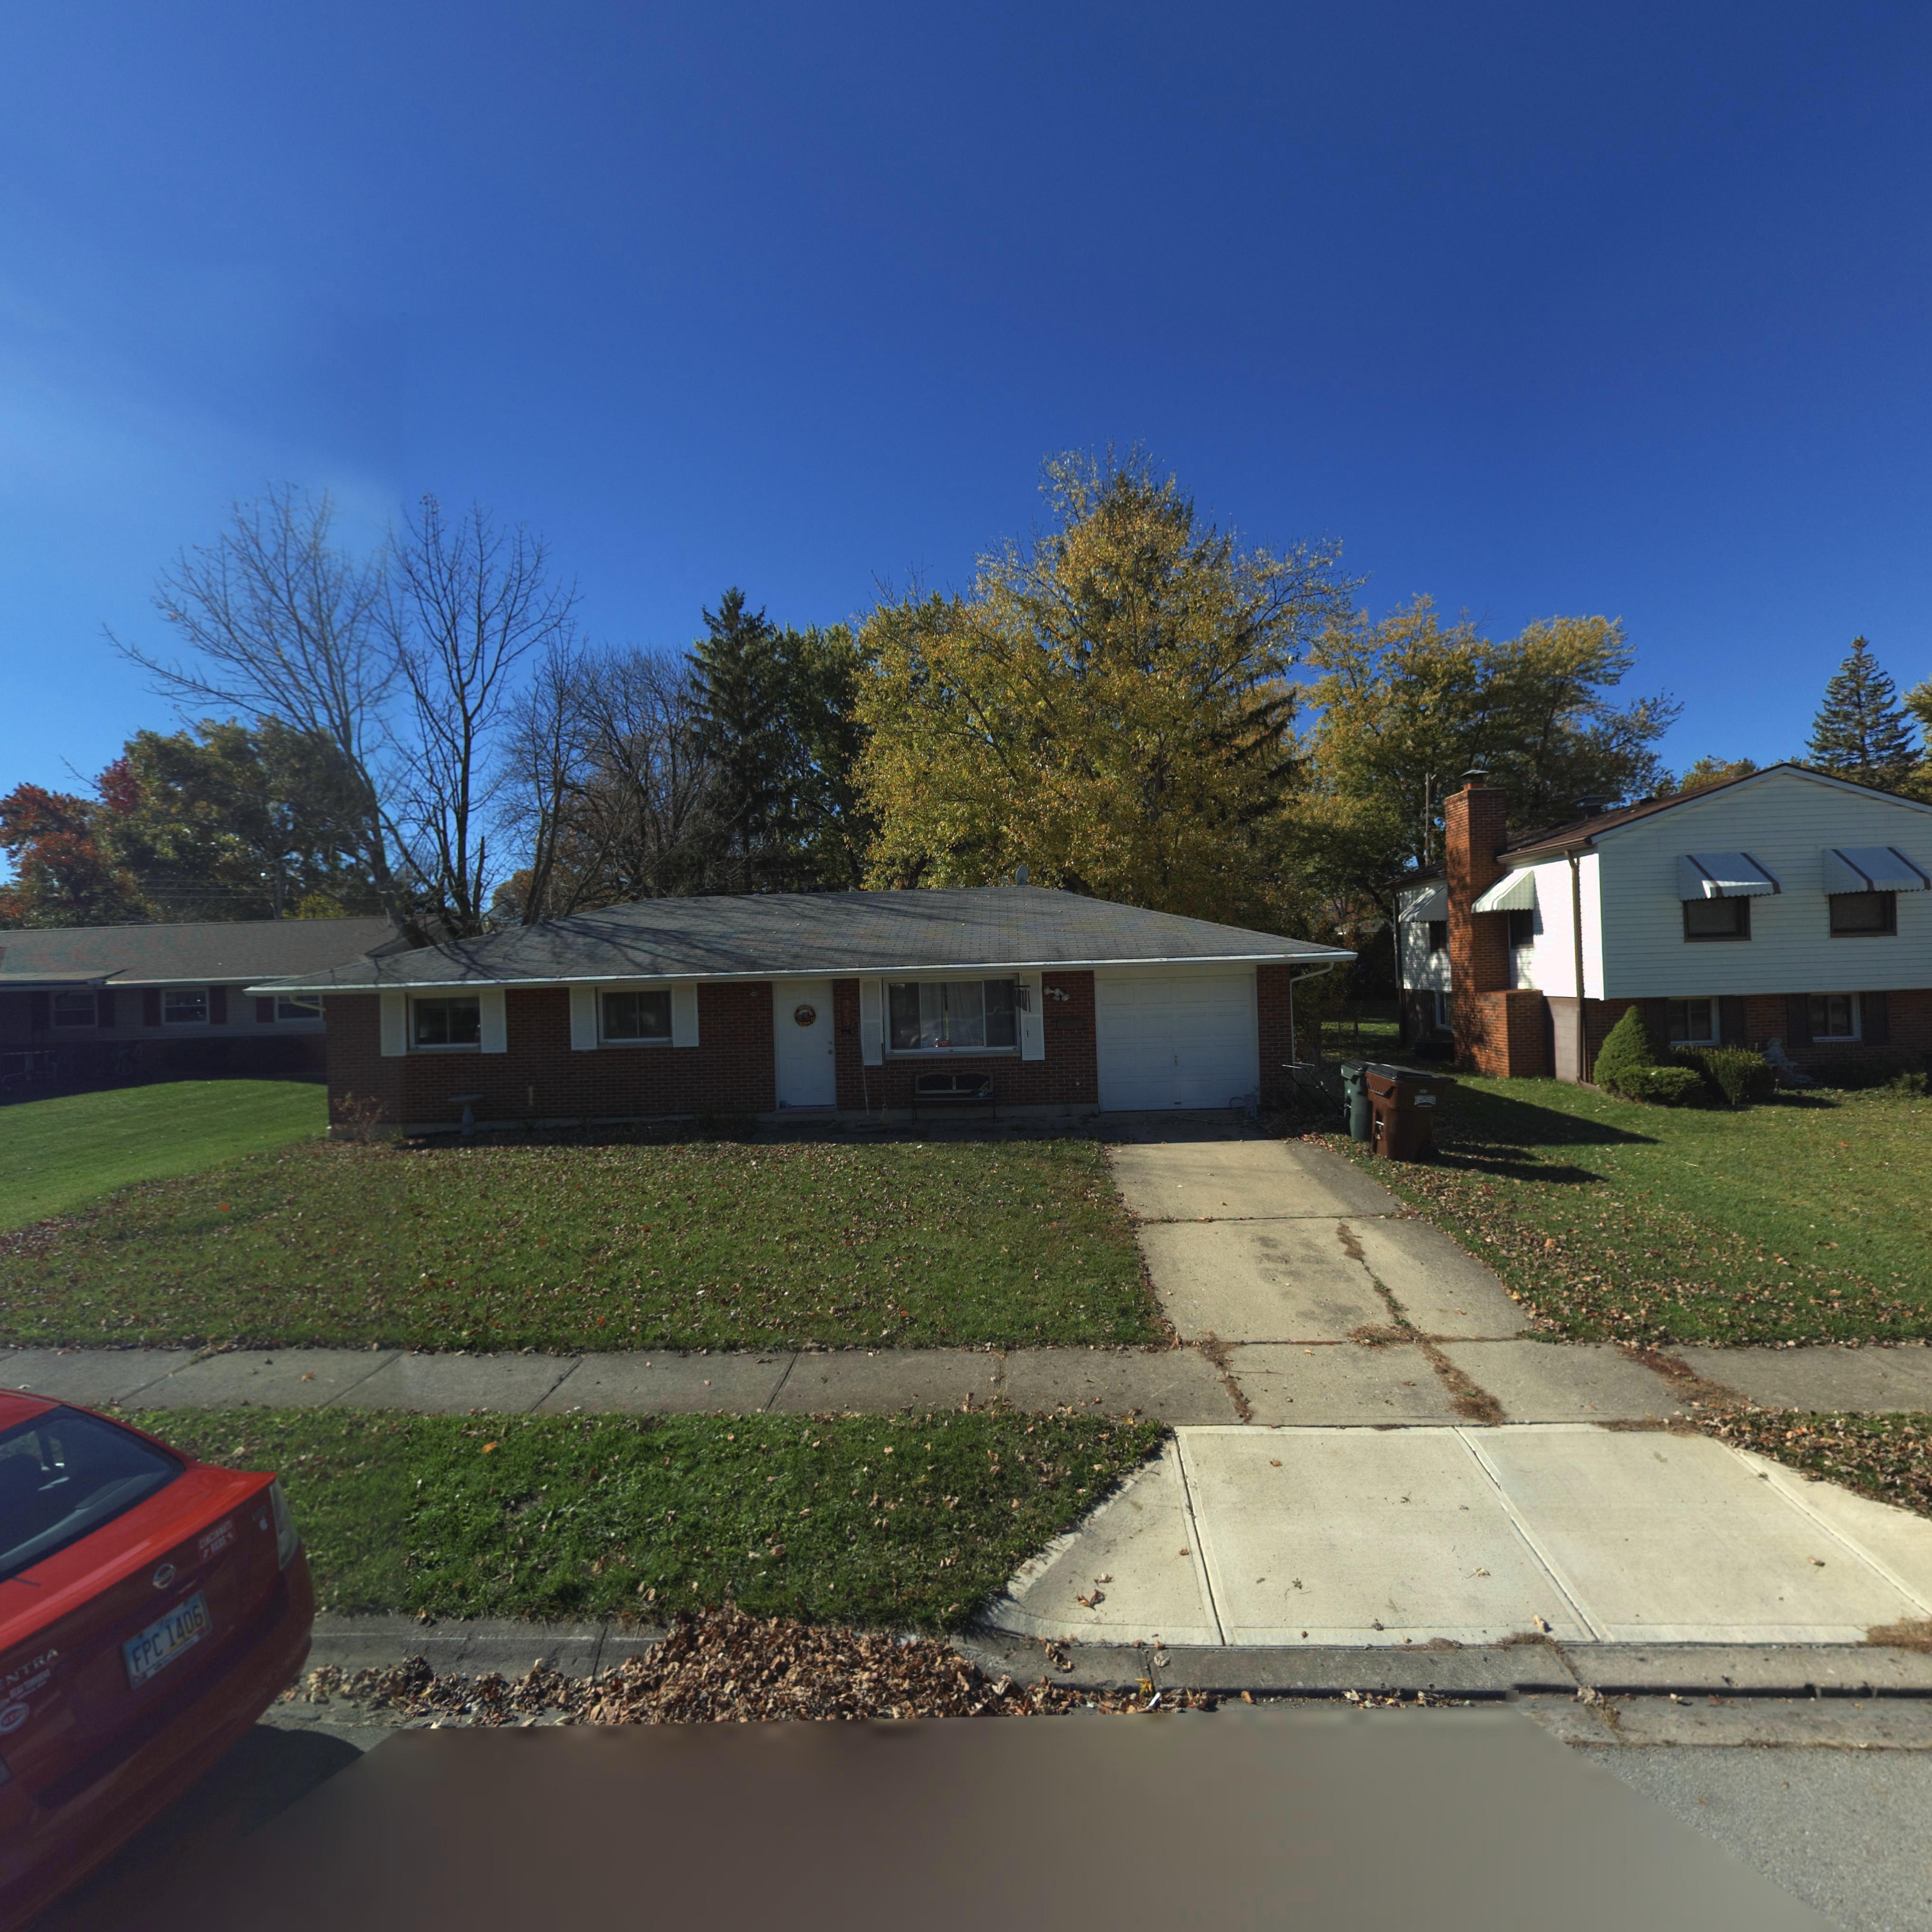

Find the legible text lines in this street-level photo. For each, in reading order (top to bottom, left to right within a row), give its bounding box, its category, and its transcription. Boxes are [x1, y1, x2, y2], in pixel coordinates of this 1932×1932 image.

[843, 998, 850, 1027] StreetNumber: 323